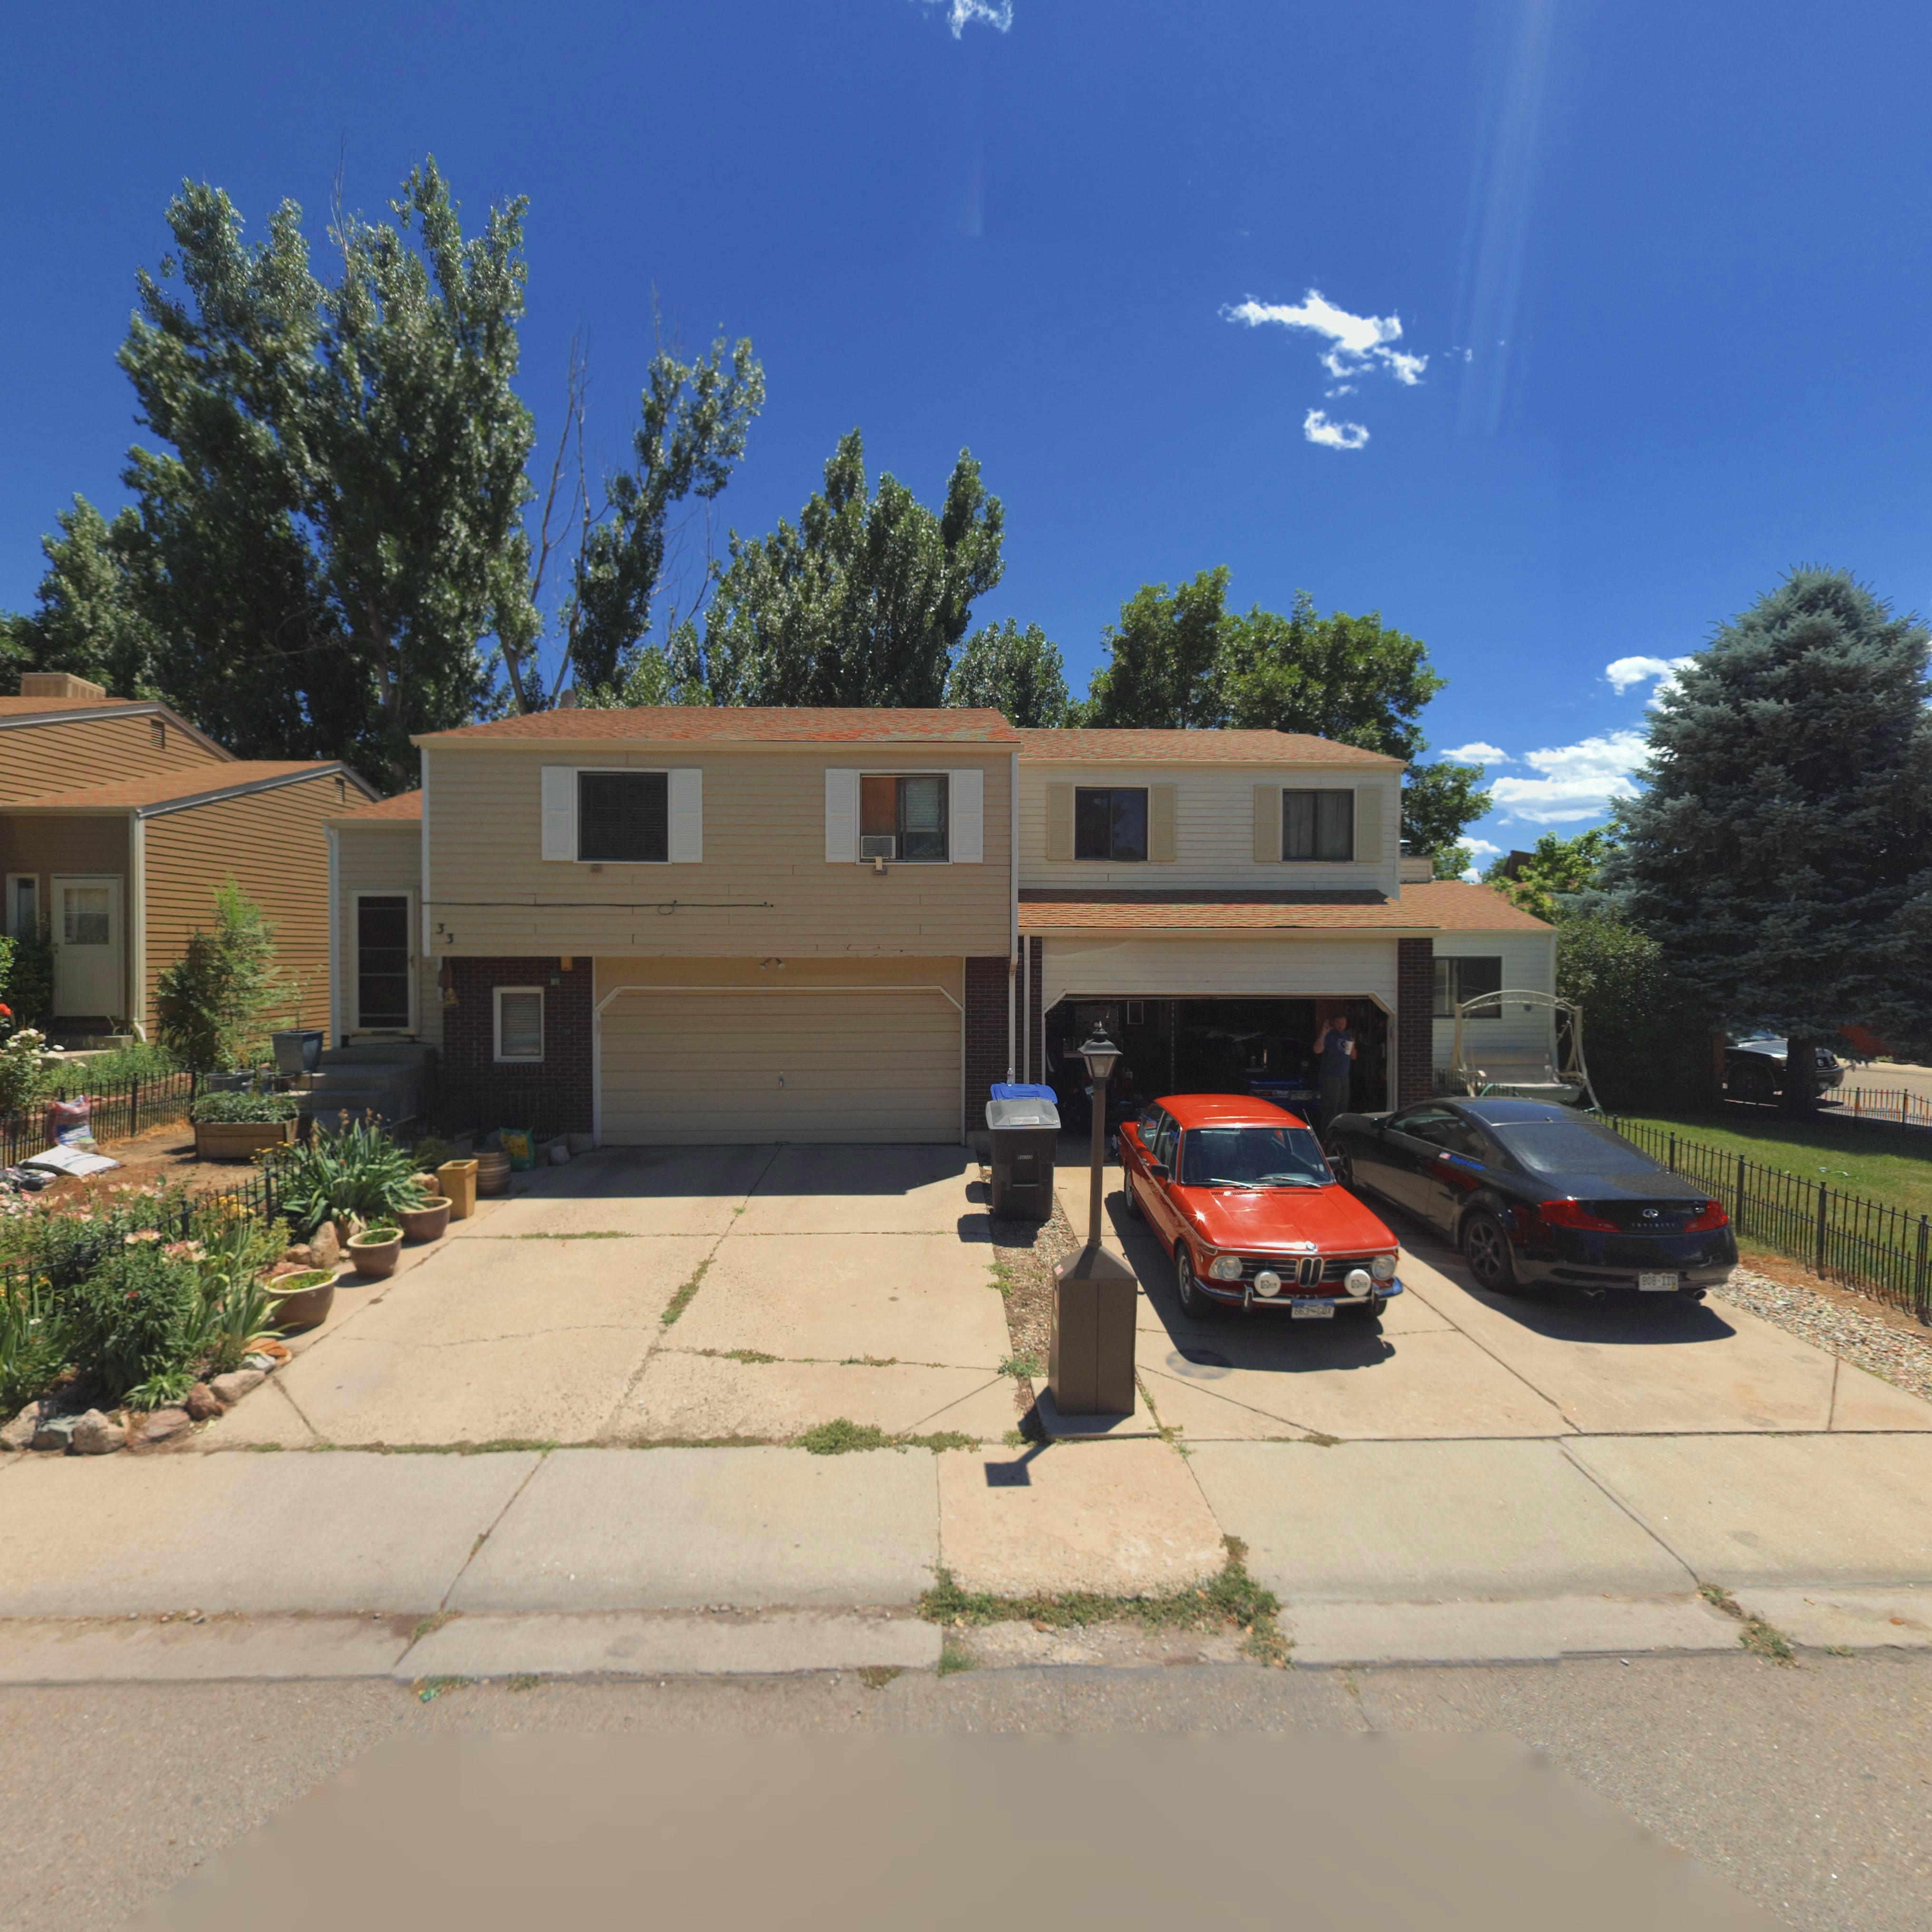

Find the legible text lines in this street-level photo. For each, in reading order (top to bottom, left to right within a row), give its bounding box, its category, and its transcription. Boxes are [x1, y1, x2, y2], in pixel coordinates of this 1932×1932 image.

[435, 923, 454, 945] StreetNumber: 33